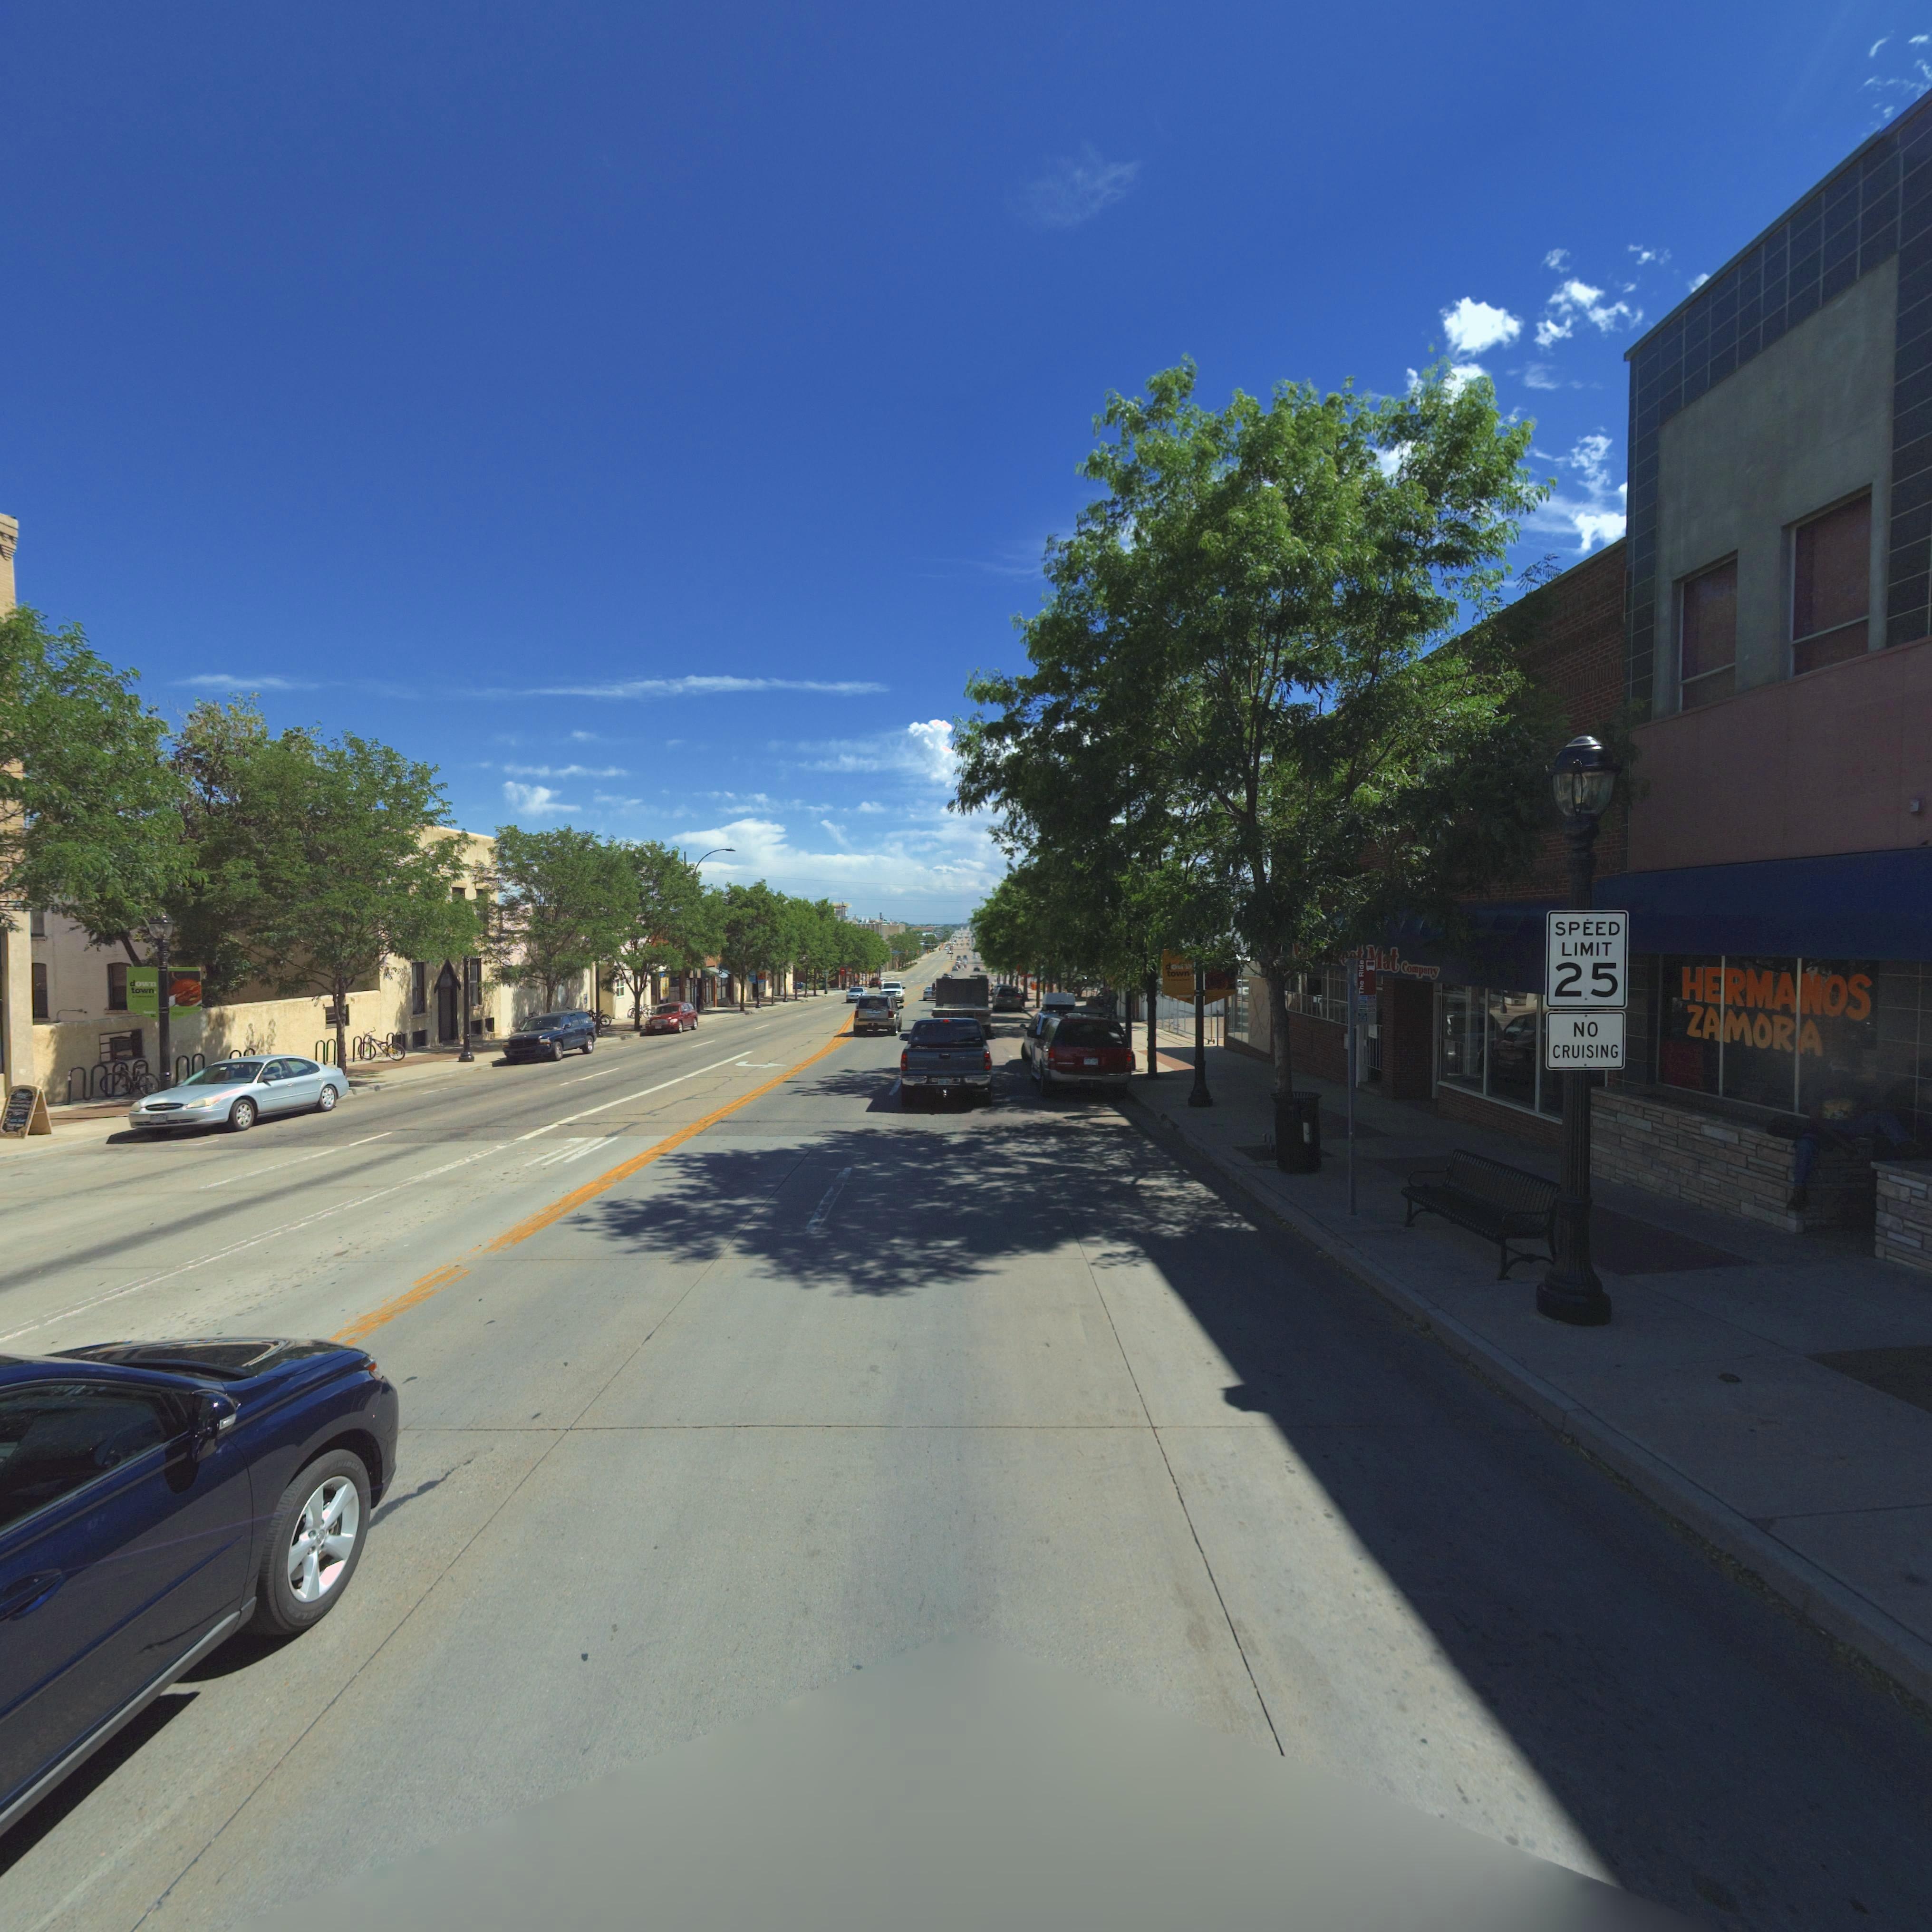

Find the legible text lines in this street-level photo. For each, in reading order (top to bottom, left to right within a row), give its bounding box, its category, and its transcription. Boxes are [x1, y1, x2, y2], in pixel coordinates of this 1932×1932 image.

[1340, 942, 1400, 974] BusinessName: e** Mat
[1401, 959, 1440, 979] BusinessName: Company
[1681, 966, 1873, 1021] BusinessName: HERMANOS
[1685, 1003, 1823, 1057] BusinessName: ZAMORA